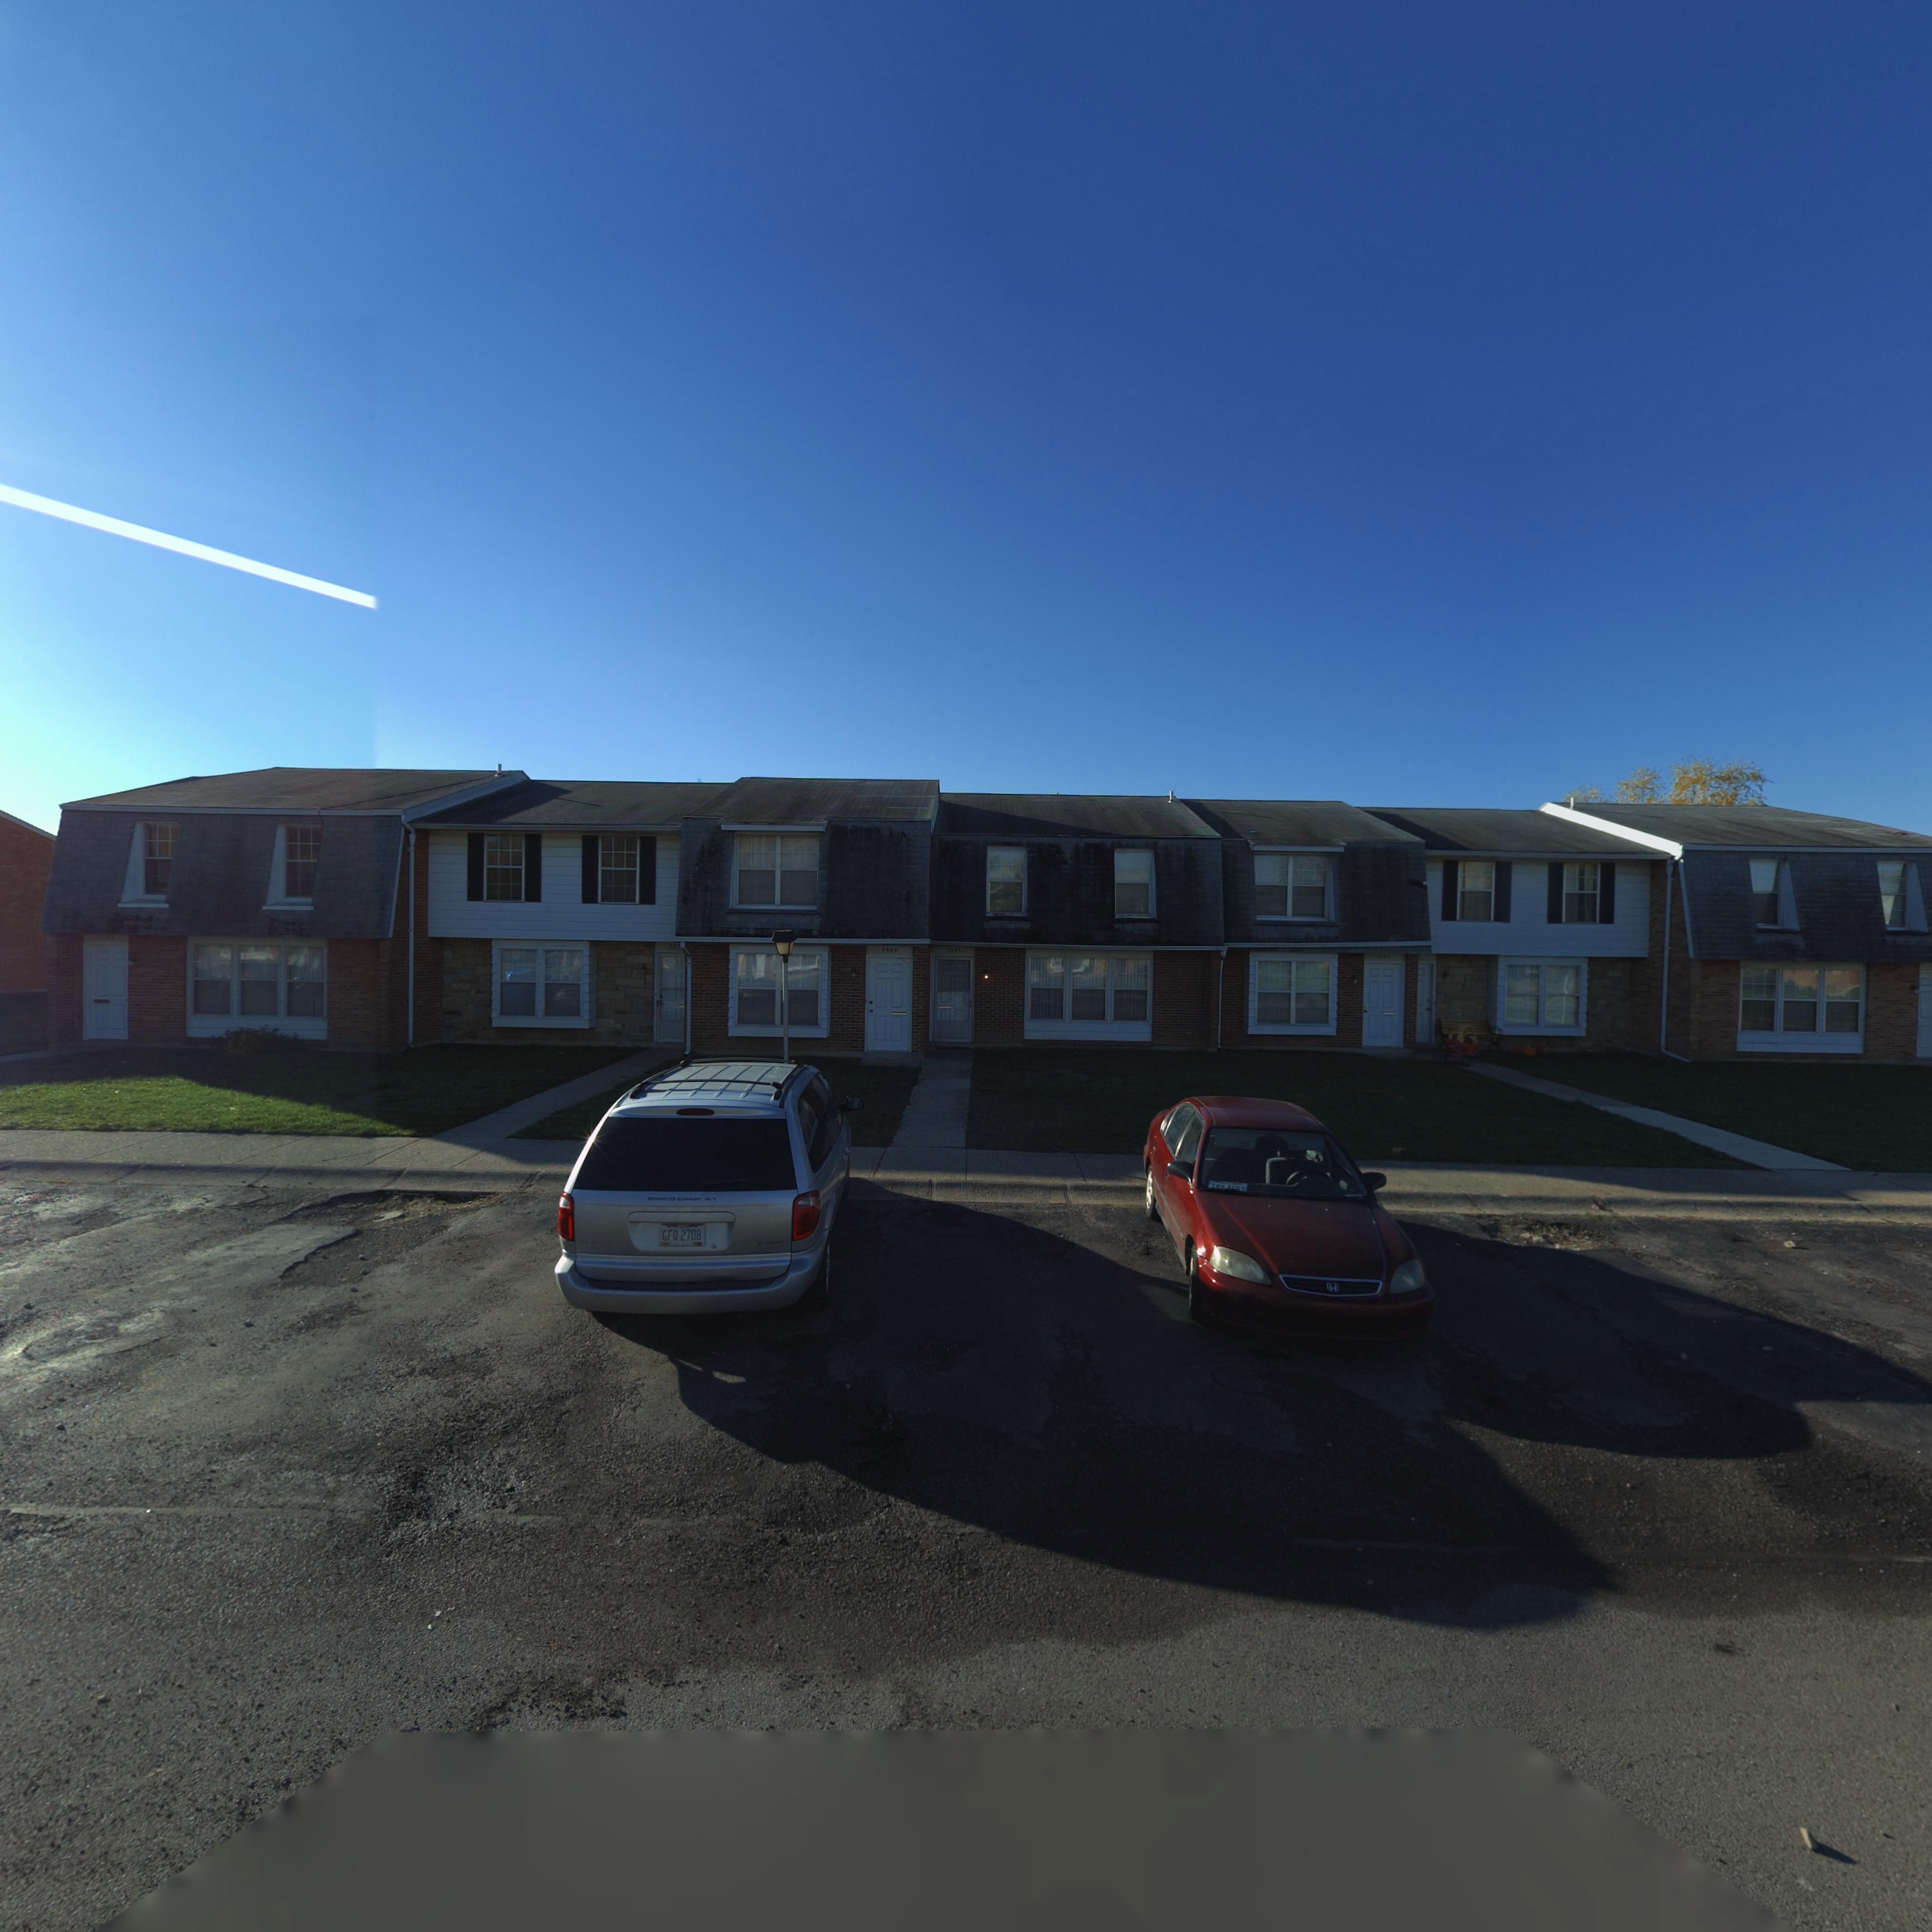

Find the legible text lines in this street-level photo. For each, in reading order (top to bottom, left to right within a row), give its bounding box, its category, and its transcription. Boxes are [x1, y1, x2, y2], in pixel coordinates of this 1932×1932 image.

[97, 934, 116, 940] StreetNumber: 75*4
[669, 943, 681, 949] StreetNumber: 759
[881, 947, 898, 953] StreetNumber: 7590
[947, 947, 961, 953] StreetNumber: 7588
[1377, 954, 1391, 959] StreetNumber: 7586